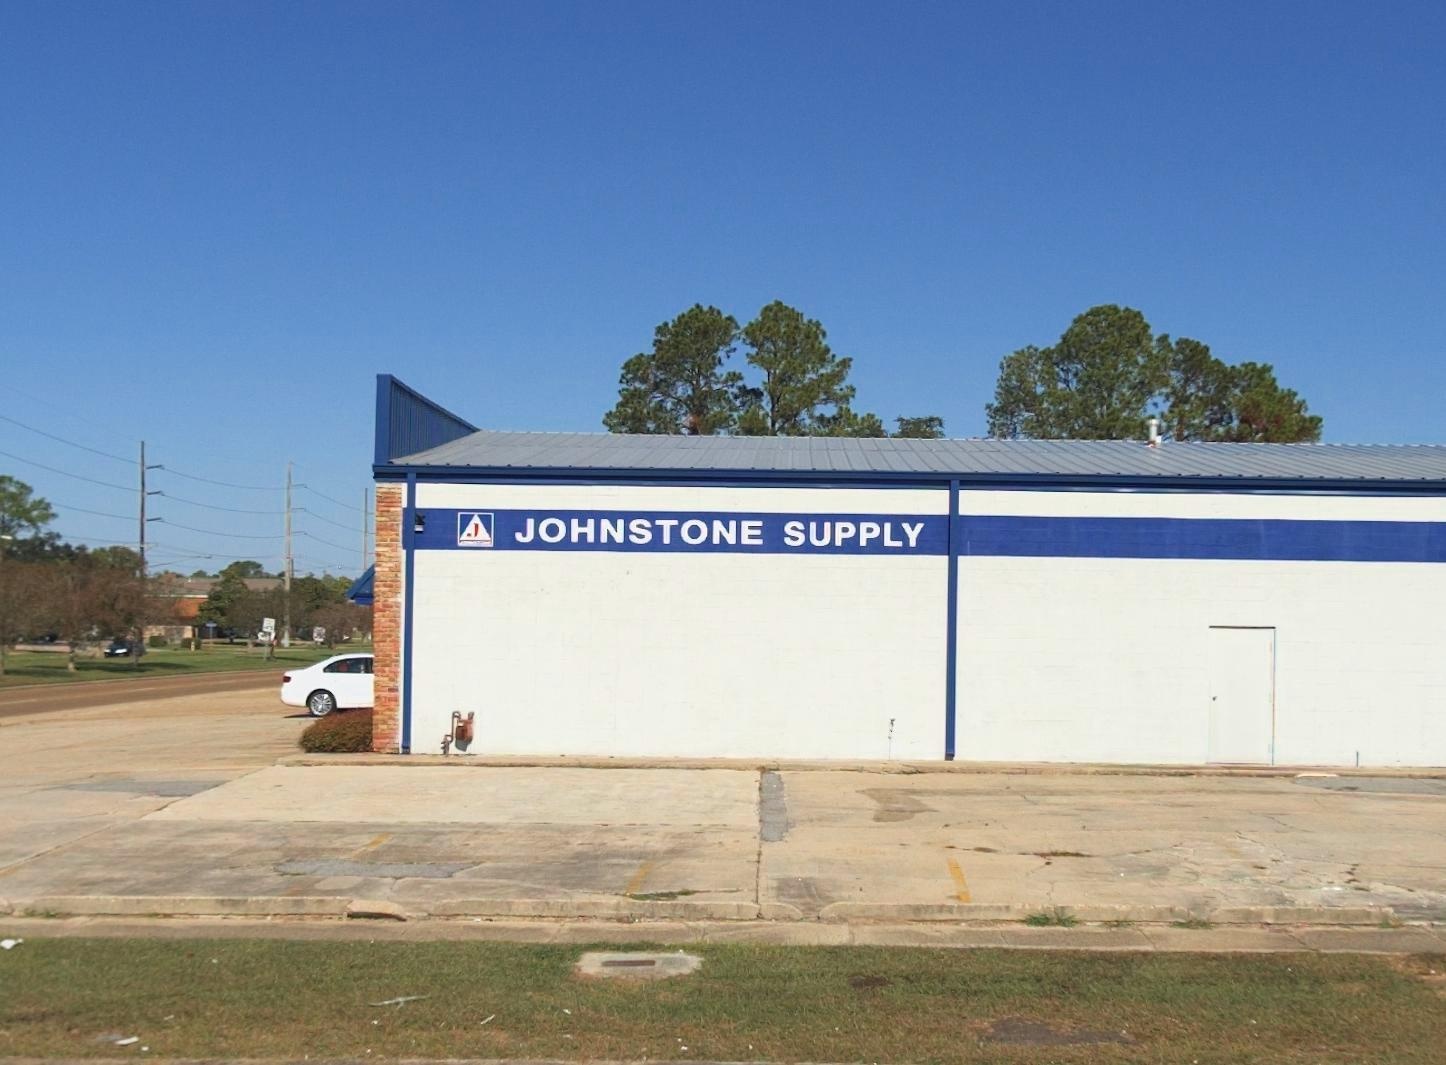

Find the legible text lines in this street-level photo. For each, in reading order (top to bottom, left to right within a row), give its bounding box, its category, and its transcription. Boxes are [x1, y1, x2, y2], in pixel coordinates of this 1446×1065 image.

[509, 514, 930, 550] BusinessName: JOHNSTONE SUPPLY